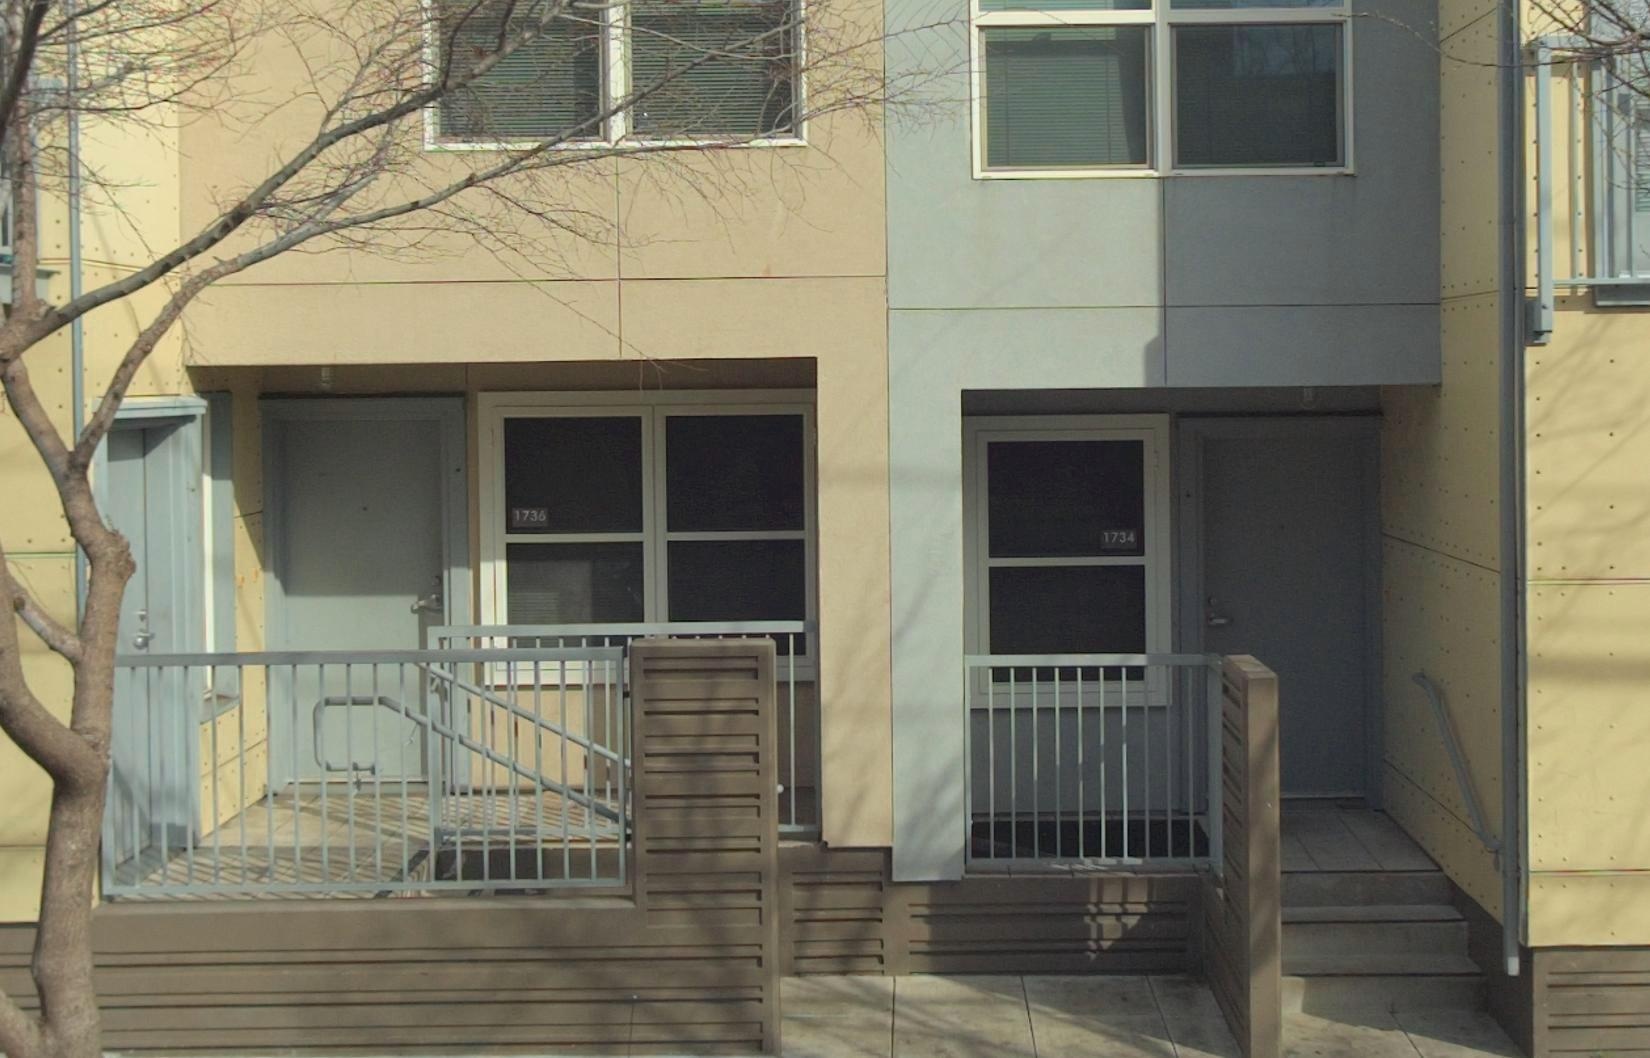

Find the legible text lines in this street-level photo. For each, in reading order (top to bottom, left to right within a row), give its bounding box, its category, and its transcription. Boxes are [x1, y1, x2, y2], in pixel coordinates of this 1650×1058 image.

[513, 507, 549, 524] StreetNumber: 1736
[1102, 529, 1137, 546] StreetNumber: 1734